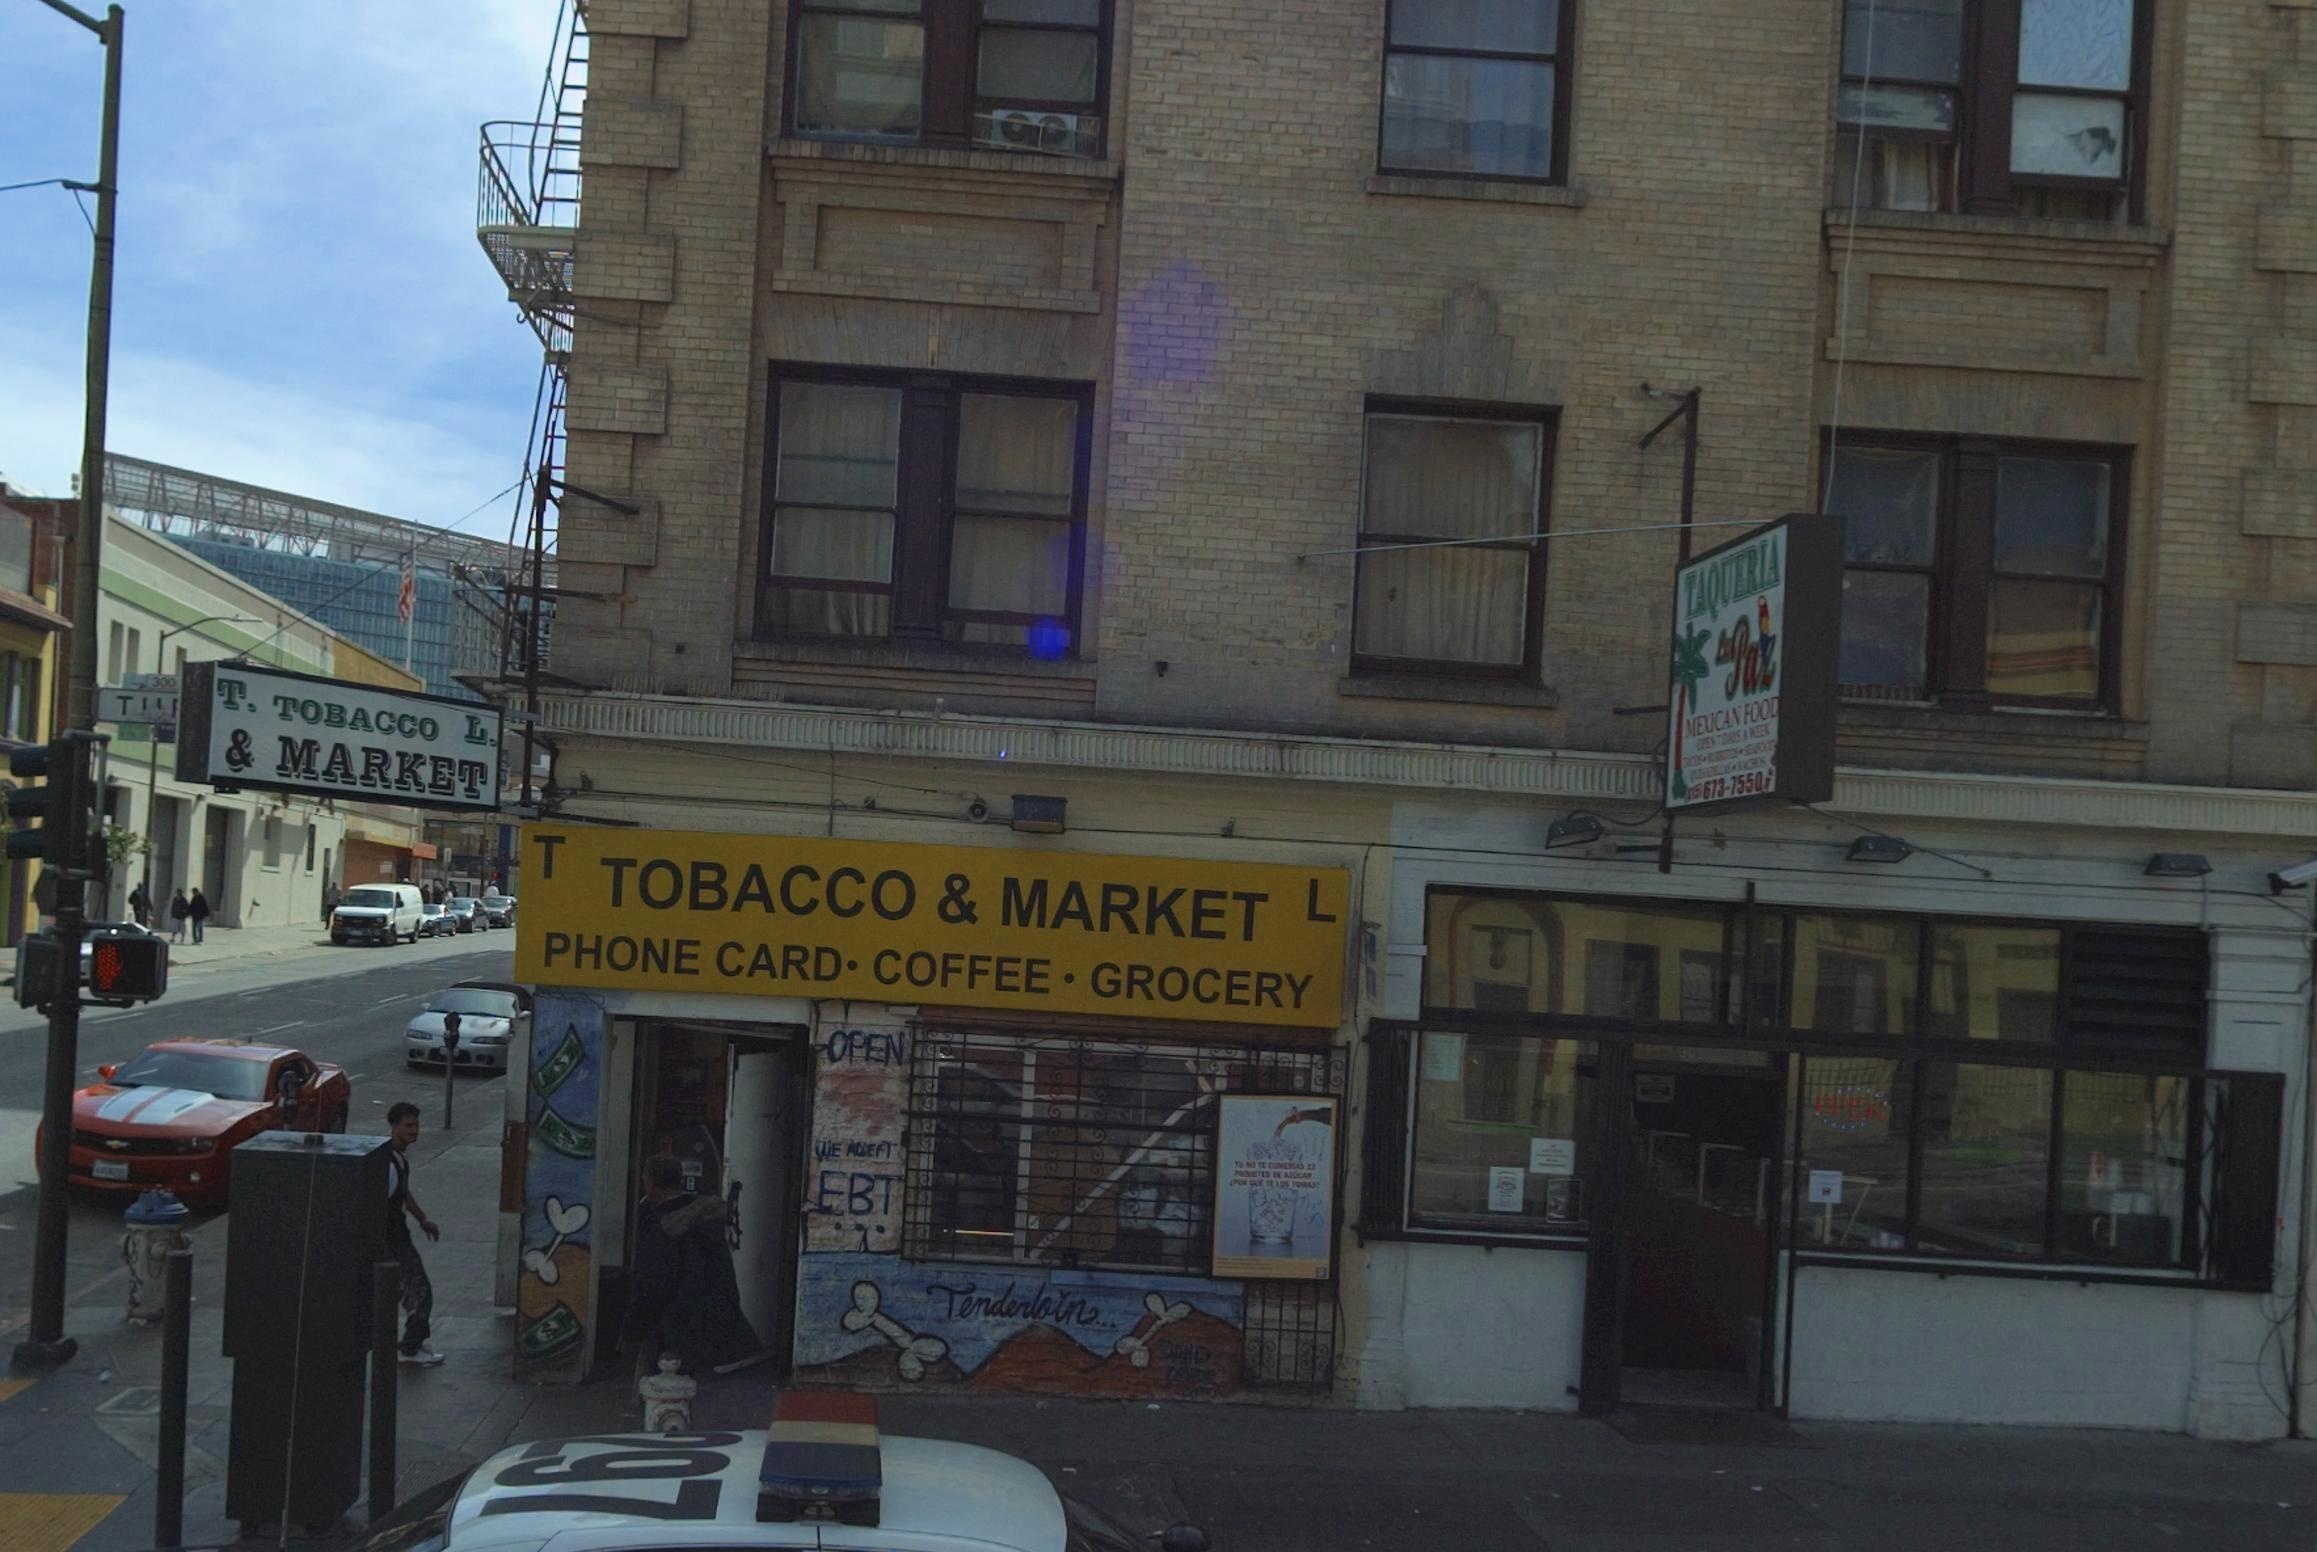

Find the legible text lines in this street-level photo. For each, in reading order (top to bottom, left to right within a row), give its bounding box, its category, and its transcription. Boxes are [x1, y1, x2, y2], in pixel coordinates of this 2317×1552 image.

[1682, 531, 1782, 624] BusinessName: TAQUERIA
[1710, 623, 1739, 669] BusinessName: La
[1723, 615, 1777, 703] BusinessName: Paz
[112, 692, 139, 721] StreetName: T
[145, 674, 177, 691] StreetNumberRange: 300
[211, 674, 249, 715] BusinessName: T
[268, 691, 442, 744] BusinessName: TOBACCO
[268, 729, 490, 802] BusinessName: MARKET
[458, 711, 490, 749] BusinessName: L
[1681, 768, 1766, 806] None: (415)673-7550
[1684, 753, 1767, 786] None: QUESADILLAS-NACHOS
[1677, 736, 1779, 770] None: TACOS-BURRITOS-SEAFOOD
[1694, 719, 1771, 752] None: OPEN 7 DAYS A WEEK
[1681, 691, 1785, 743] None: MEXICAN FOOD
[528, 831, 573, 884] BusinessName: T
[597, 854, 1272, 943] BusinessName: TOBACCO & MARKET
[1303, 874, 1340, 927] BusinessName: L
[539, 925, 1319, 1012] None: PHONE CARD- COFFEE - GROCERY
[562, 1037, 582, 1066] None: 20
[819, 1023, 910, 1070] None: OPEN
[1672, 1044, 1710, 1064] StreetNumber: 605
[538, 1067, 559, 1092] None: 20
[1810, 1089, 1891, 1123] None: OPEN
[534, 1114, 557, 1137] None: 20
[575, 1135, 598, 1152] None: 20
[809, 1138, 902, 1164] None: WE ACCEPT
[812, 1166, 909, 1221] None: EBT
[922, 1277, 1103, 1331] None: Tenderloin
[1146, 1335, 1220, 1366] None: SAND